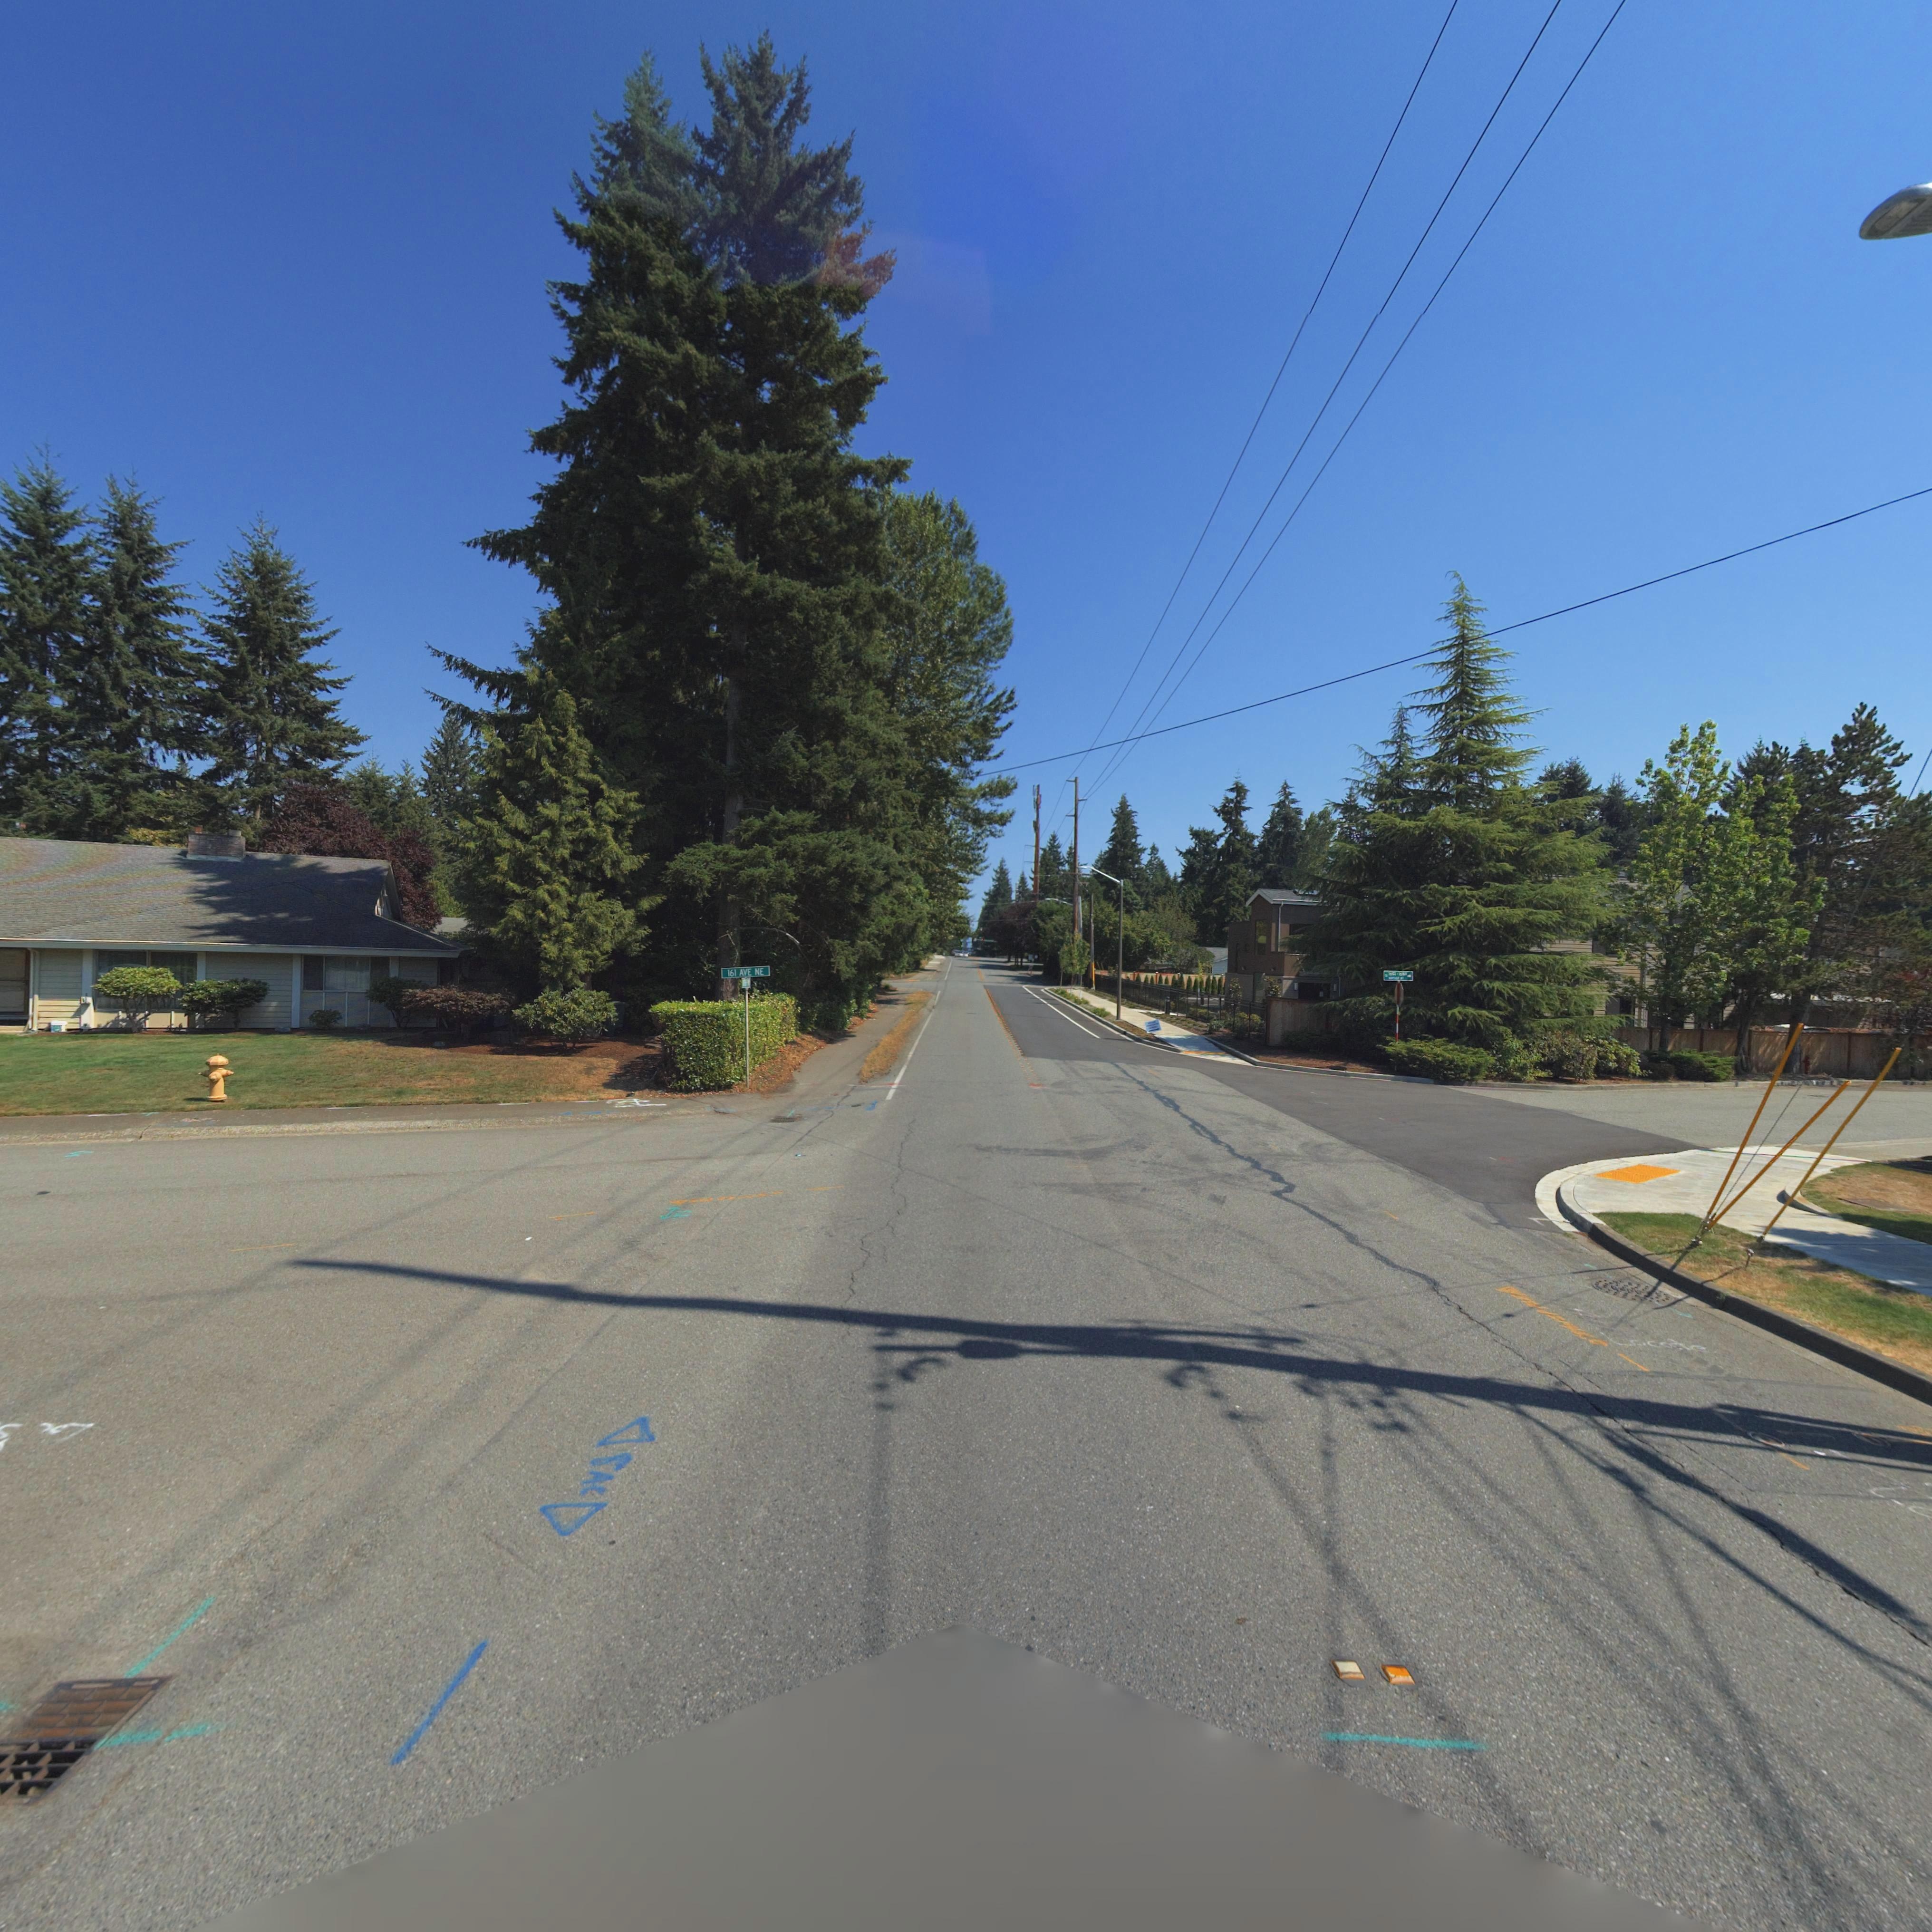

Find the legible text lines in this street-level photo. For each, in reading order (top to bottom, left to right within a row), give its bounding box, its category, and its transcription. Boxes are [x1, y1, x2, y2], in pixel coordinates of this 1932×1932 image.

[727, 968, 764, 976] StreetName: 161 AVE NE